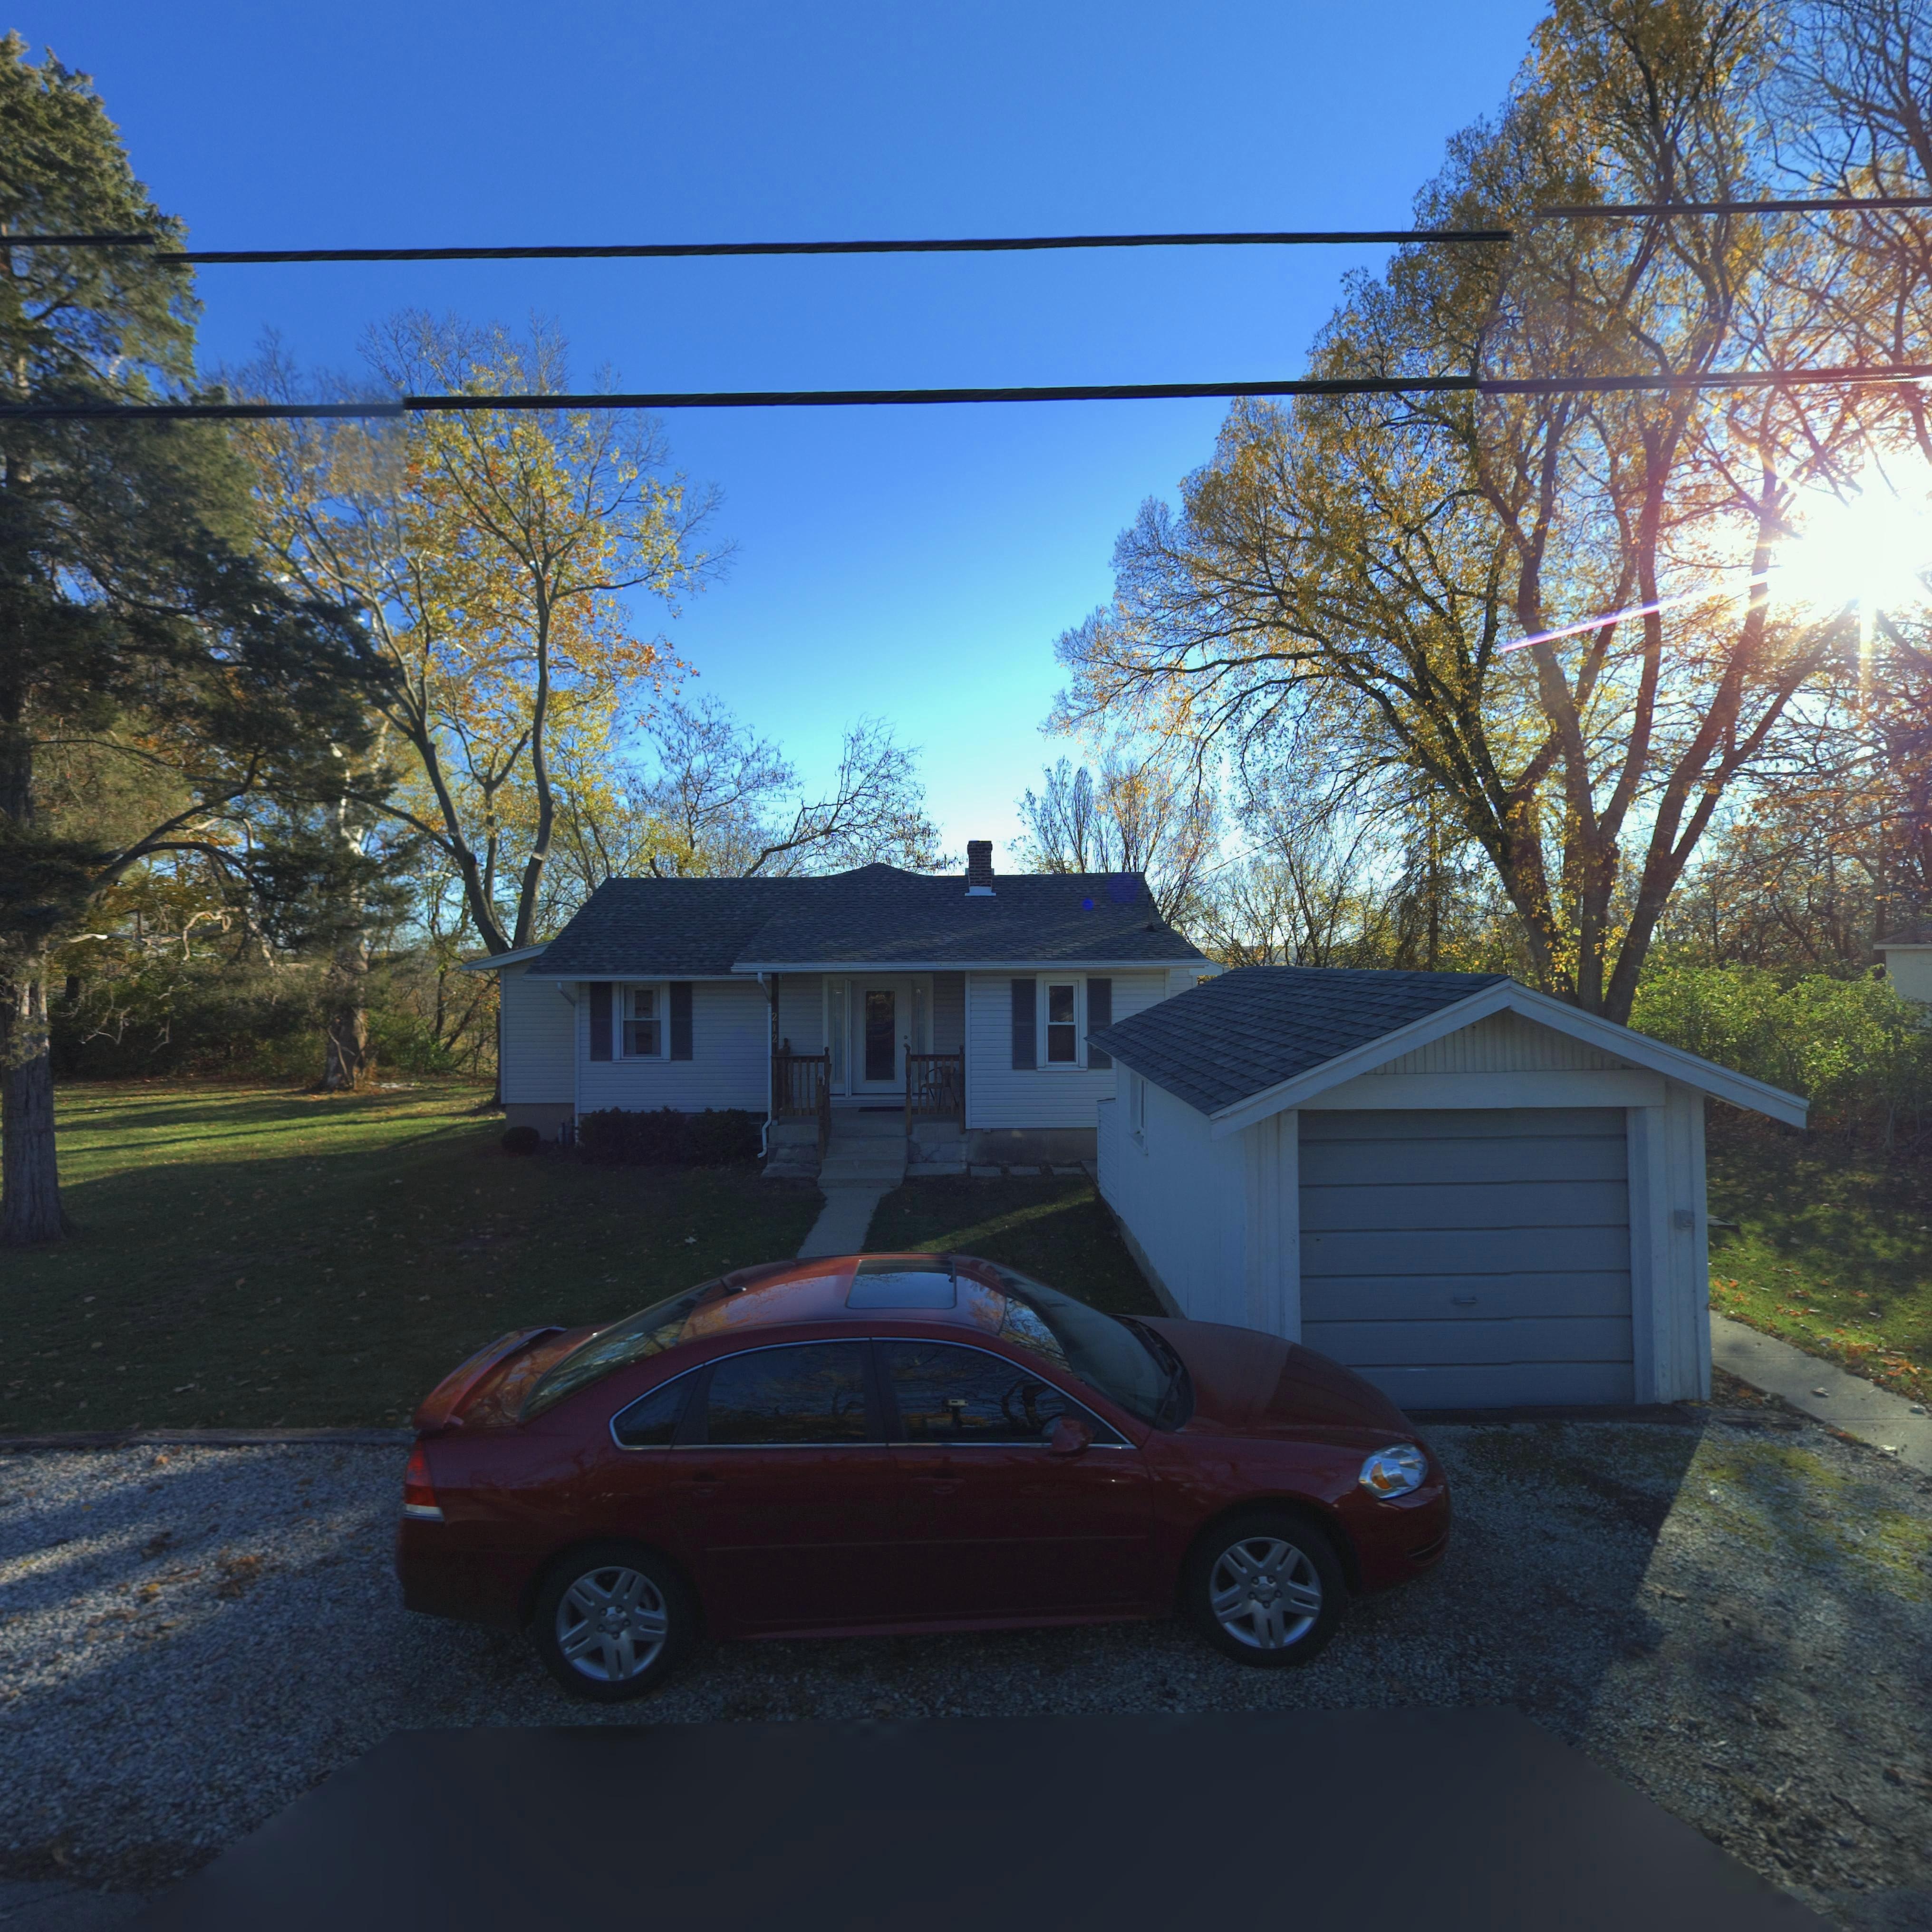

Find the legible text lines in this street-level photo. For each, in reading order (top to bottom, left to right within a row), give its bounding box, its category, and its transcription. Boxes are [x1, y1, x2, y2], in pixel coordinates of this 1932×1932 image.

[771, 1012, 778, 1043] StreetNumber: 212